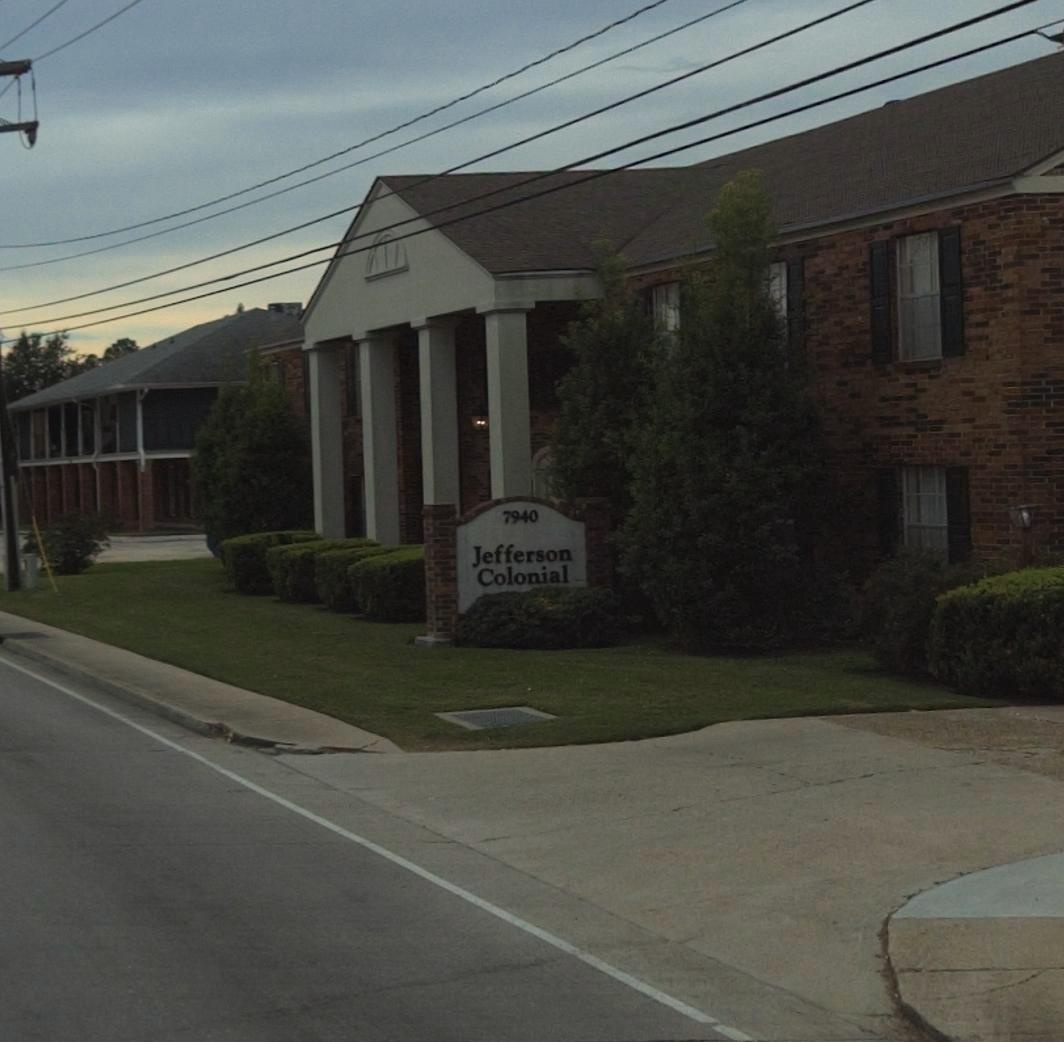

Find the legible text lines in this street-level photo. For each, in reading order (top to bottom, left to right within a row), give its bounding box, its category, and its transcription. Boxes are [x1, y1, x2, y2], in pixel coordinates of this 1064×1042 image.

[501, 509, 539, 524] StreetNumber: 7940
[471, 544, 574, 569] BusinessName: Jefferson
[477, 563, 571, 587] BusinessName: Colonial